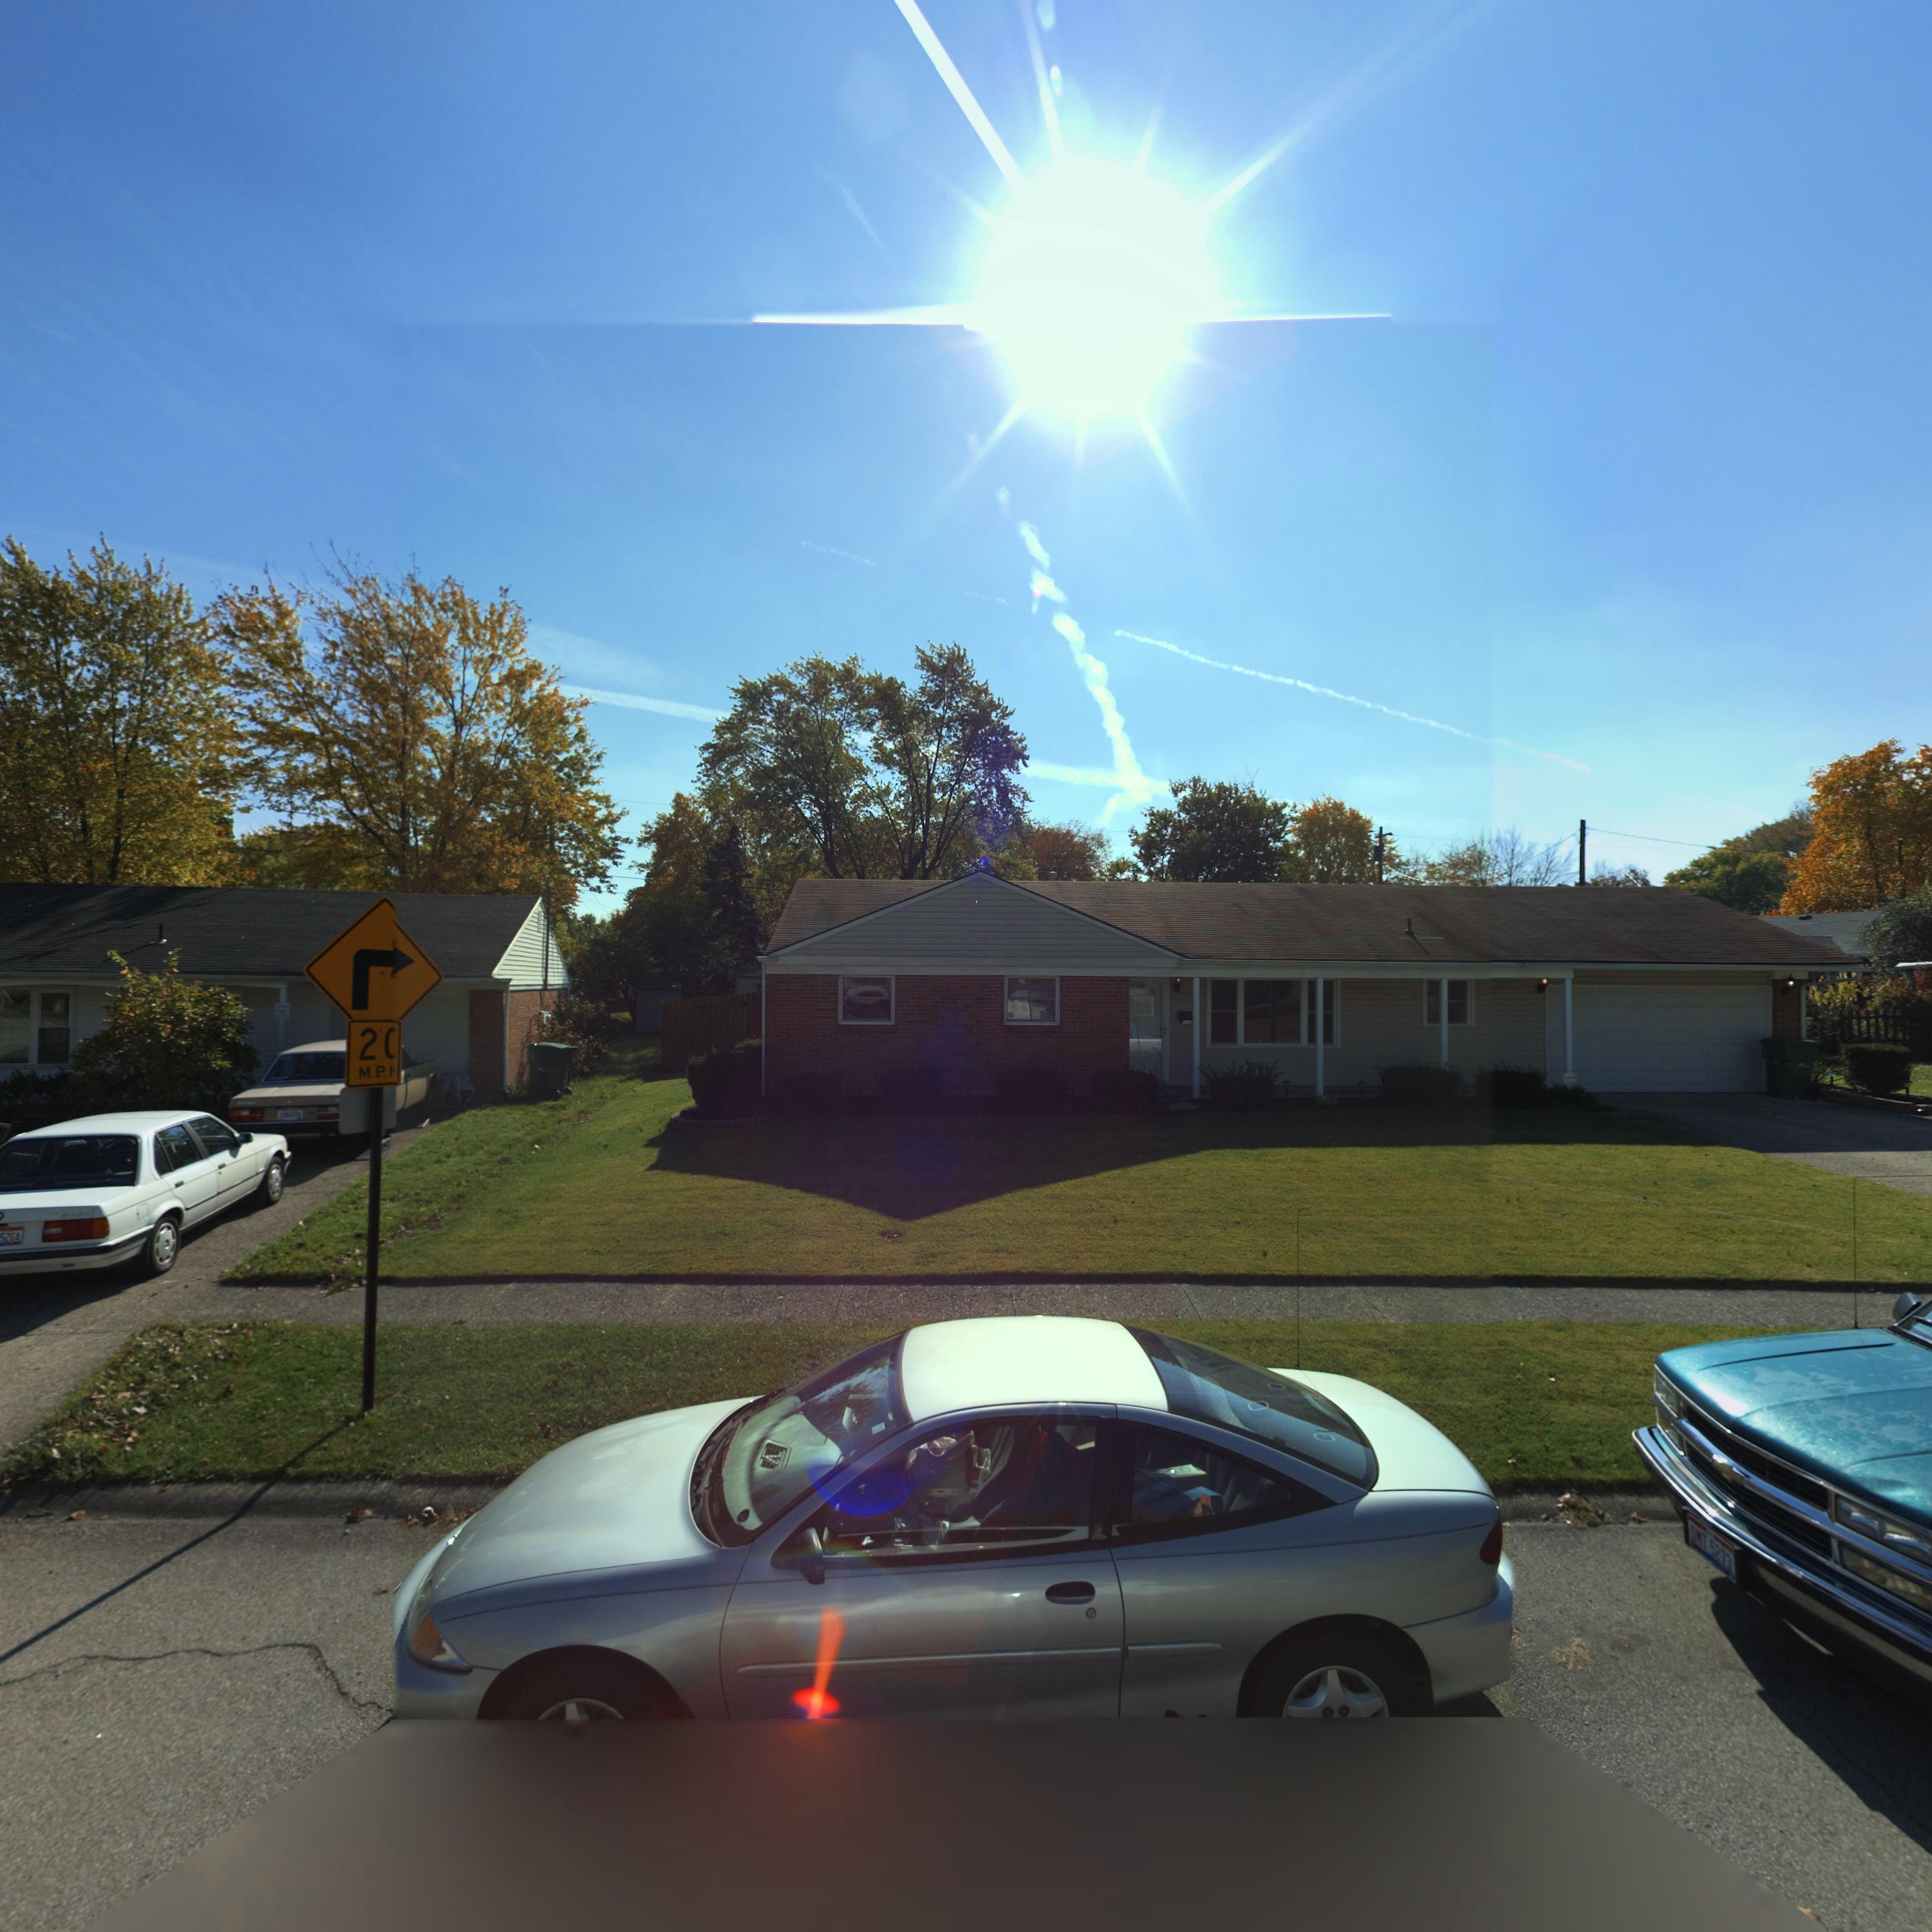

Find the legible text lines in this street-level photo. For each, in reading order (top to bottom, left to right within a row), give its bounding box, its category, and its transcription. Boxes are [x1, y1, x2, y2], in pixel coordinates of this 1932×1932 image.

[357, 1027, 378, 1061] None: 2
[358, 1065, 386, 1079] None: M.P.
[0, 1231, 20, 1242] None: 52GA